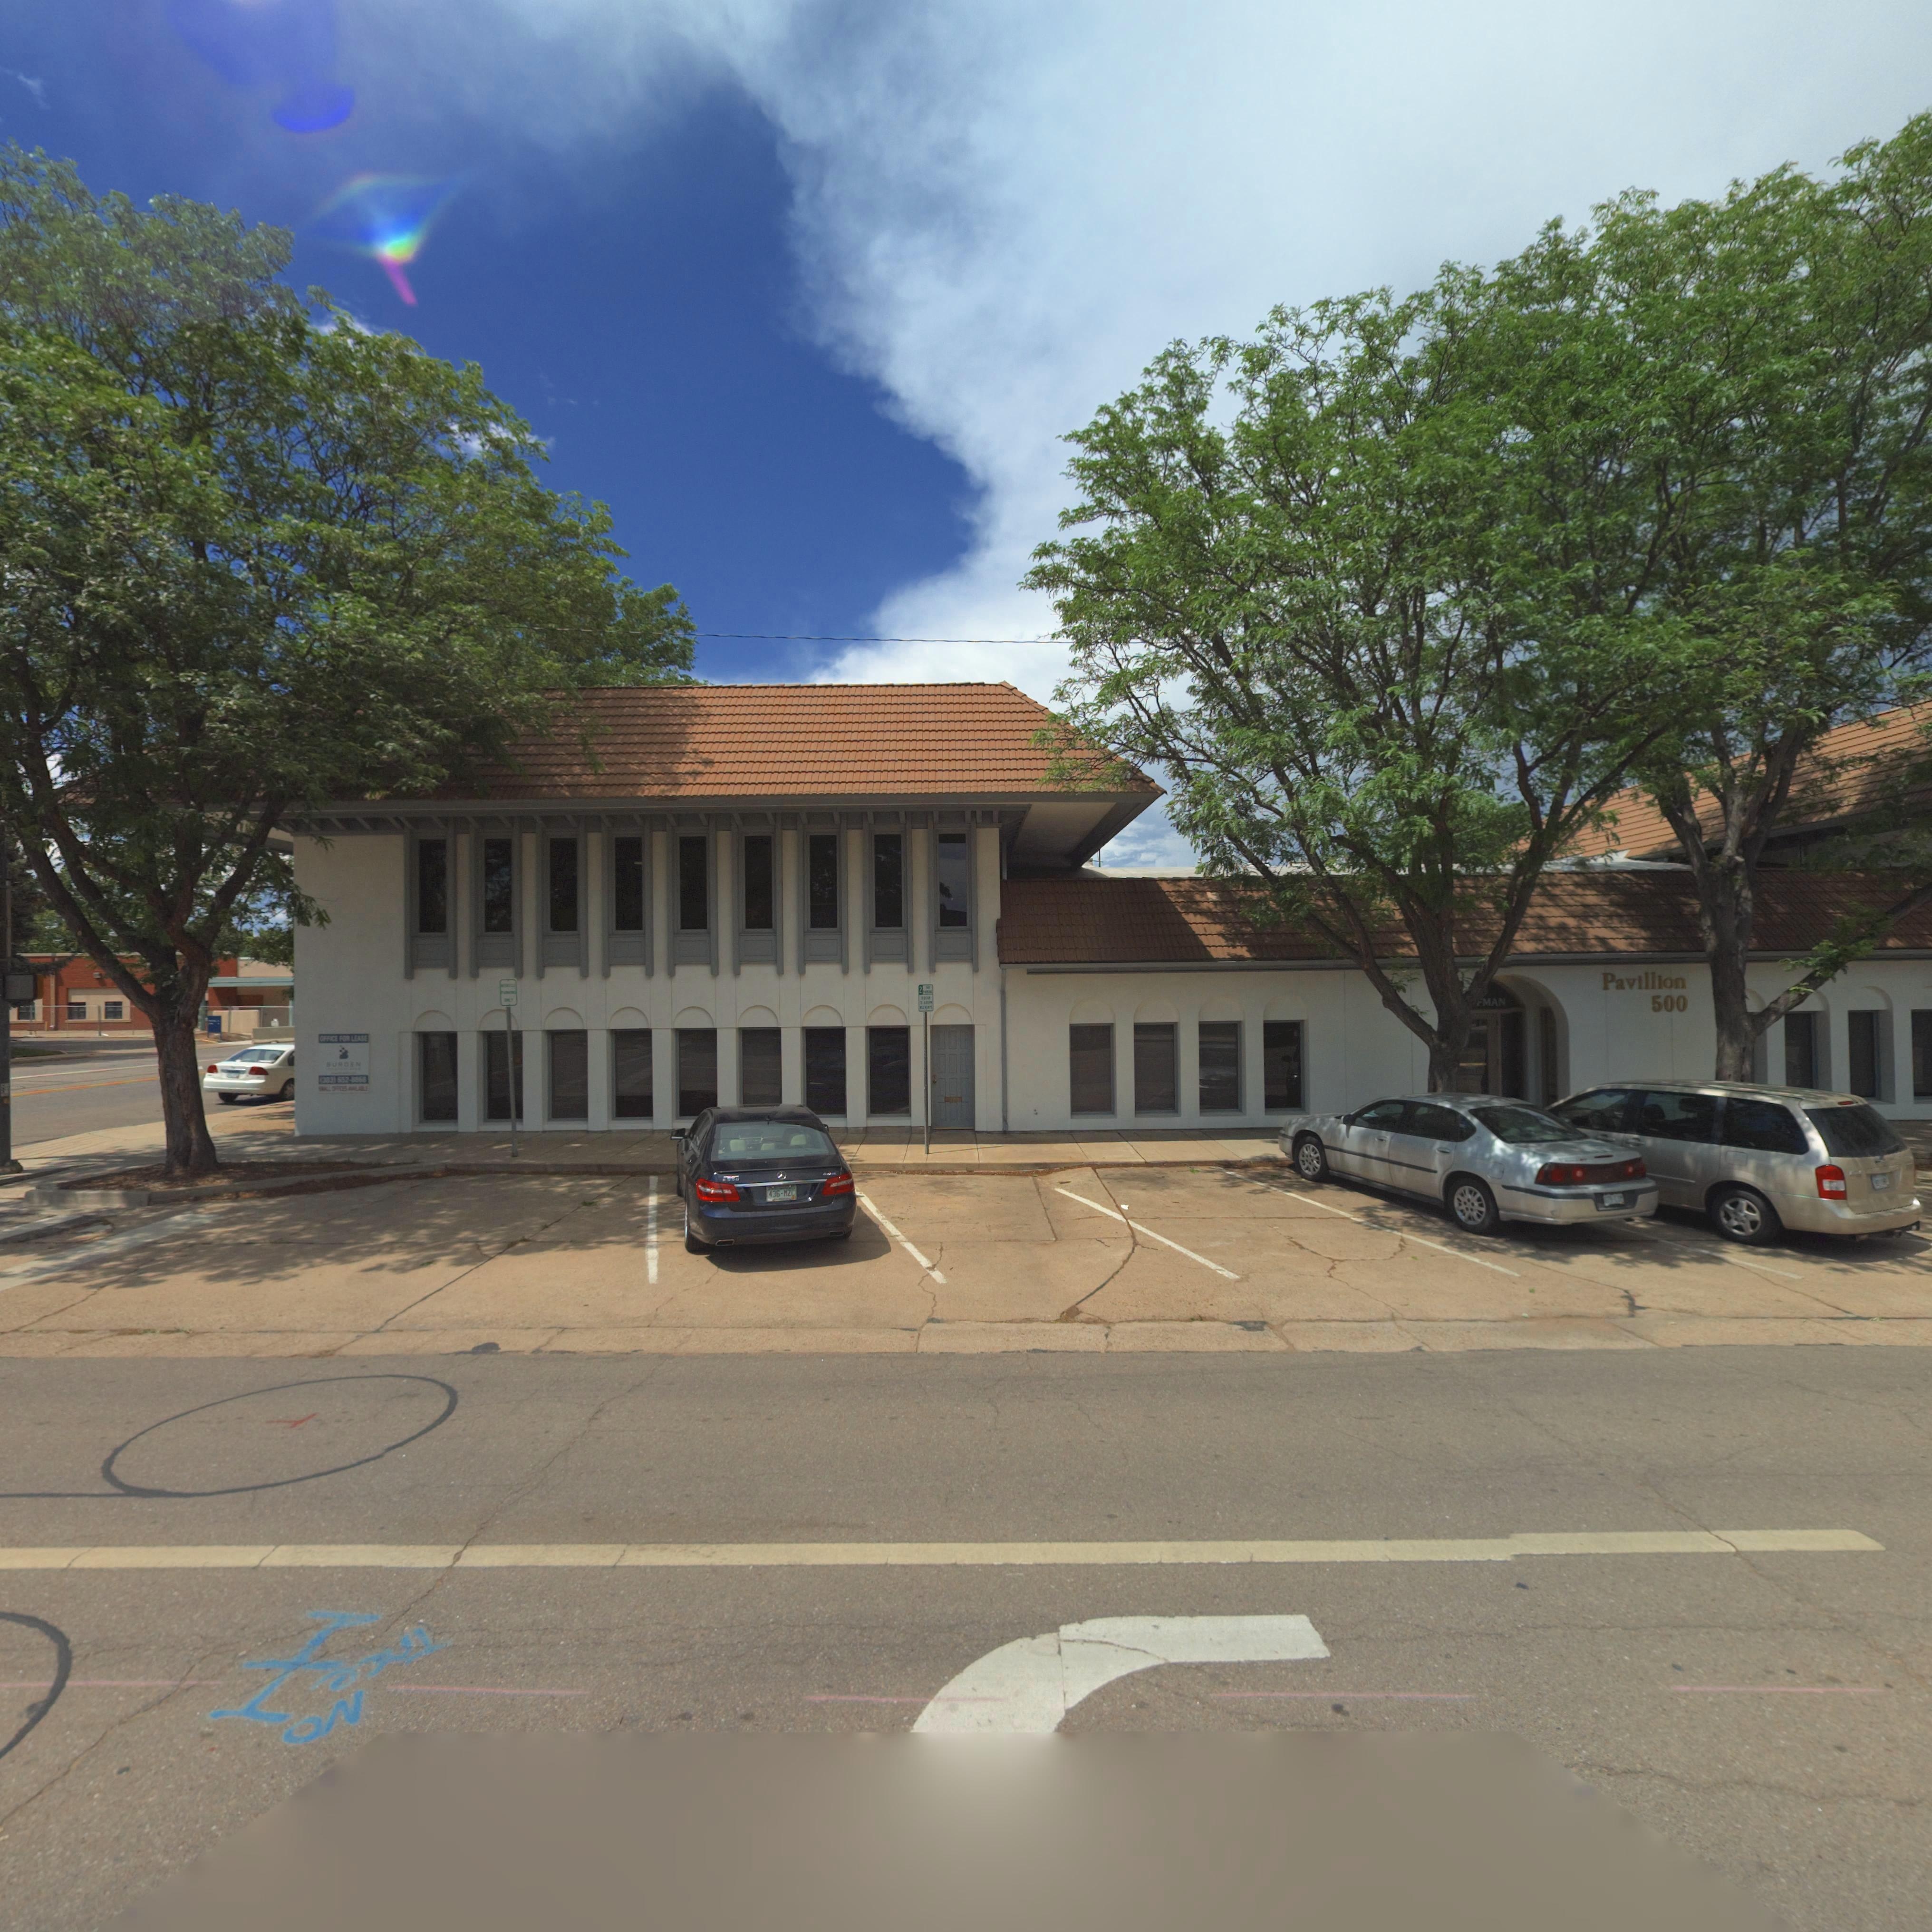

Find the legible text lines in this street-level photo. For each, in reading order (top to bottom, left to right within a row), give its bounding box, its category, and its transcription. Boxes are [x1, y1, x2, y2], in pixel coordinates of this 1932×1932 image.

[1651, 994, 1688, 1013] StreetNumber: 500